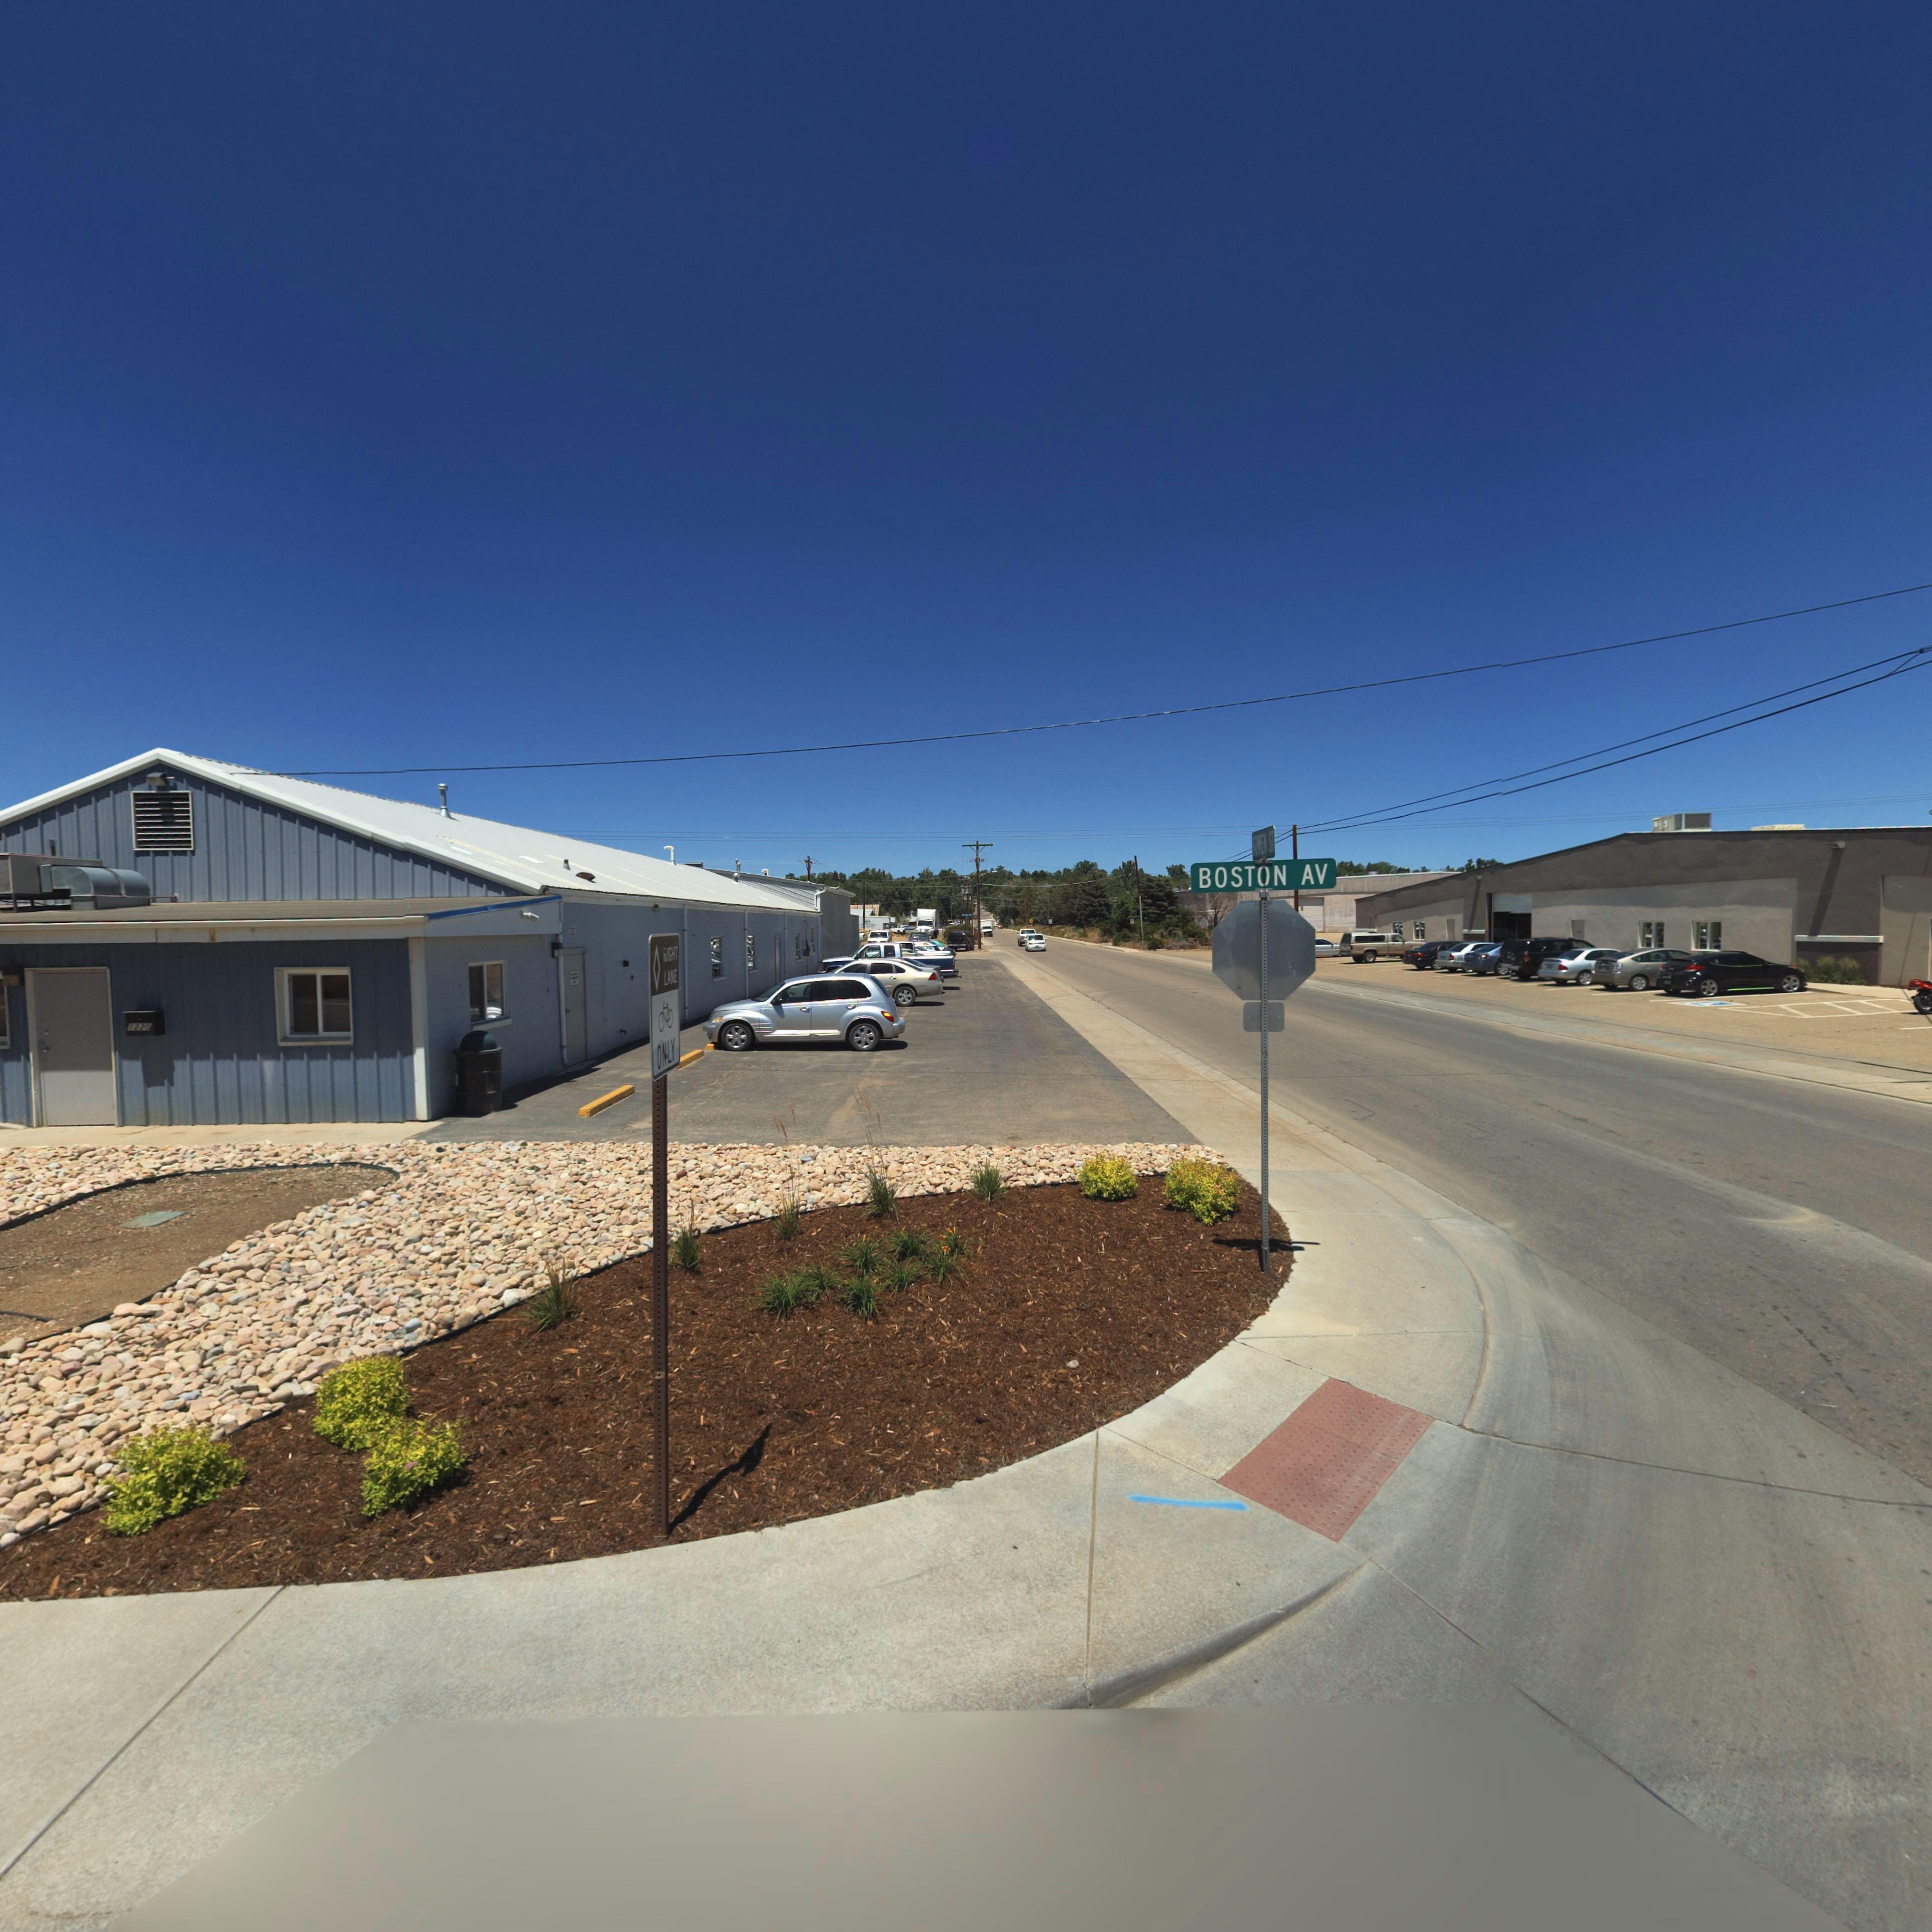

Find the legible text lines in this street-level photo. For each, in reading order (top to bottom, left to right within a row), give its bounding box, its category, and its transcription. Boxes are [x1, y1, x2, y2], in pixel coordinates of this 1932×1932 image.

[1252, 829, 1274, 857] StreetName: BOWEN ST
[1198, 863, 1328, 889] StreetName: BOSTON AV
[129, 1024, 150, 1031] StreetNumber: 1220